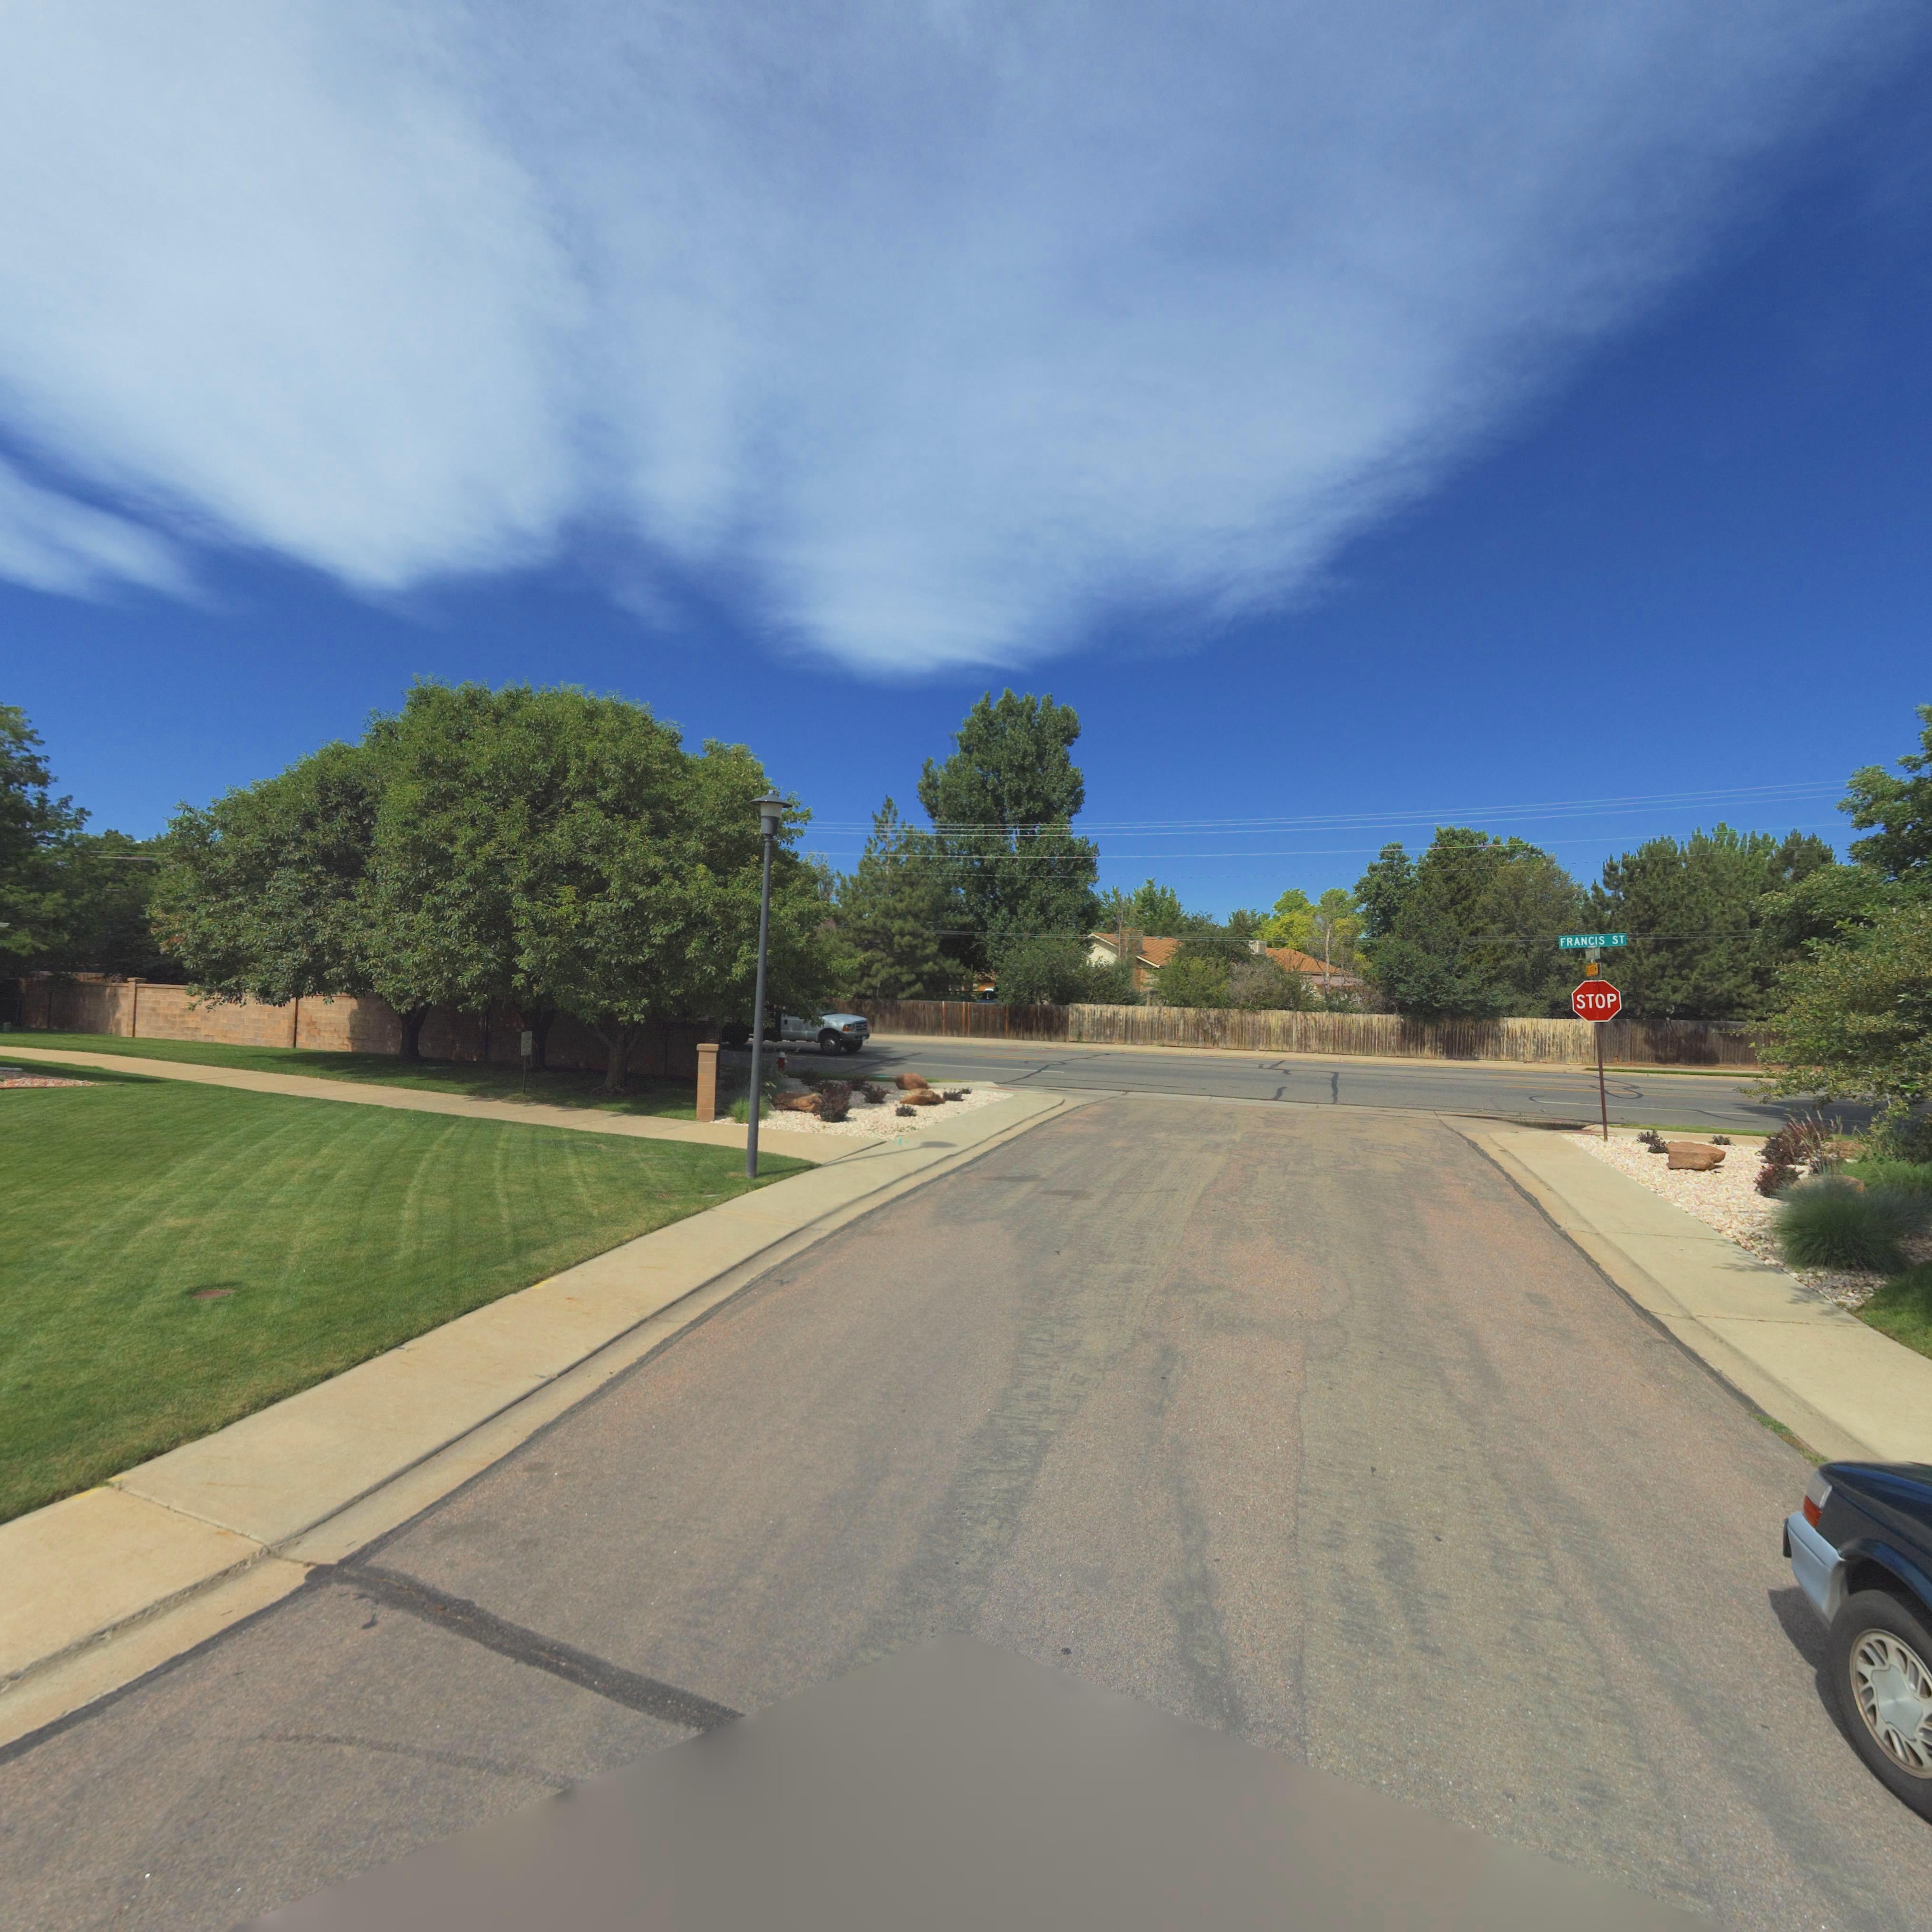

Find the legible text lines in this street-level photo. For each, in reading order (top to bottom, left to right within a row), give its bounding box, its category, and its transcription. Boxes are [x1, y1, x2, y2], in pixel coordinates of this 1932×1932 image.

[1560, 935, 1625, 947] StreetName: FRANCIS ST